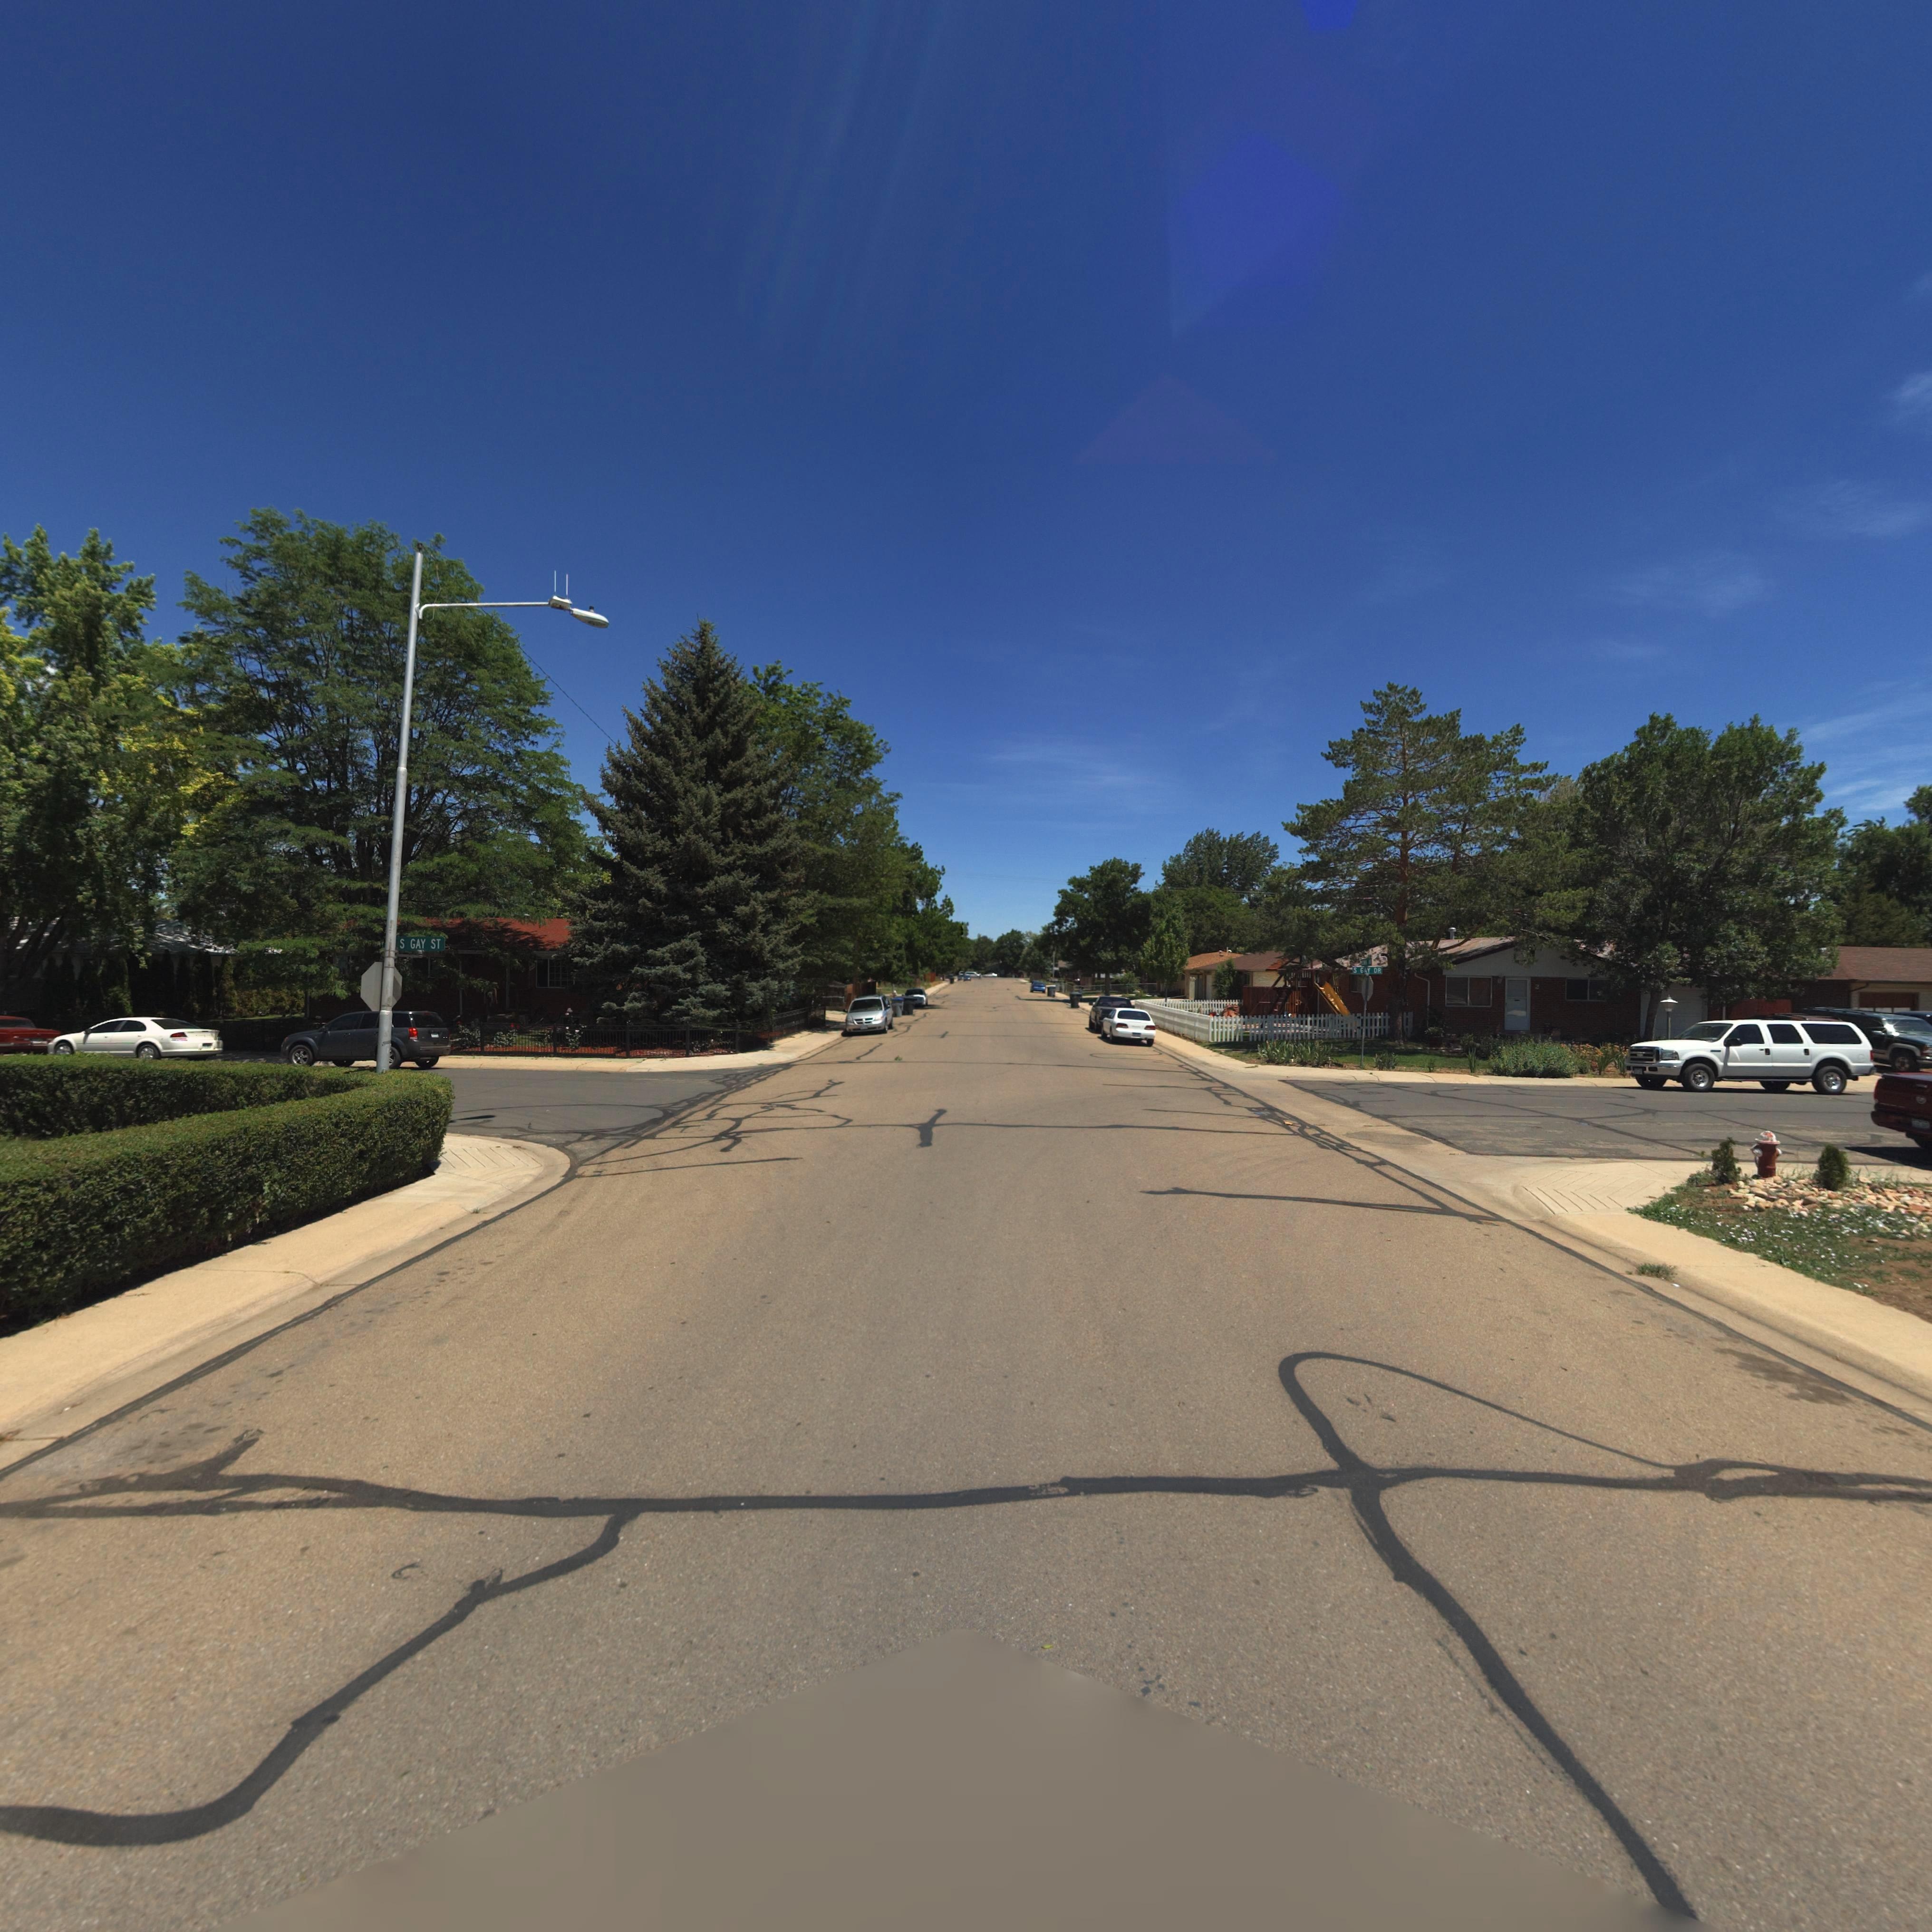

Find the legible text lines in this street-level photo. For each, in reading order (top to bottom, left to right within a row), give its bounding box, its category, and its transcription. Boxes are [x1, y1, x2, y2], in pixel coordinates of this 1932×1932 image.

[399, 938, 441, 949] StreetName: S GAY ST
[1353, 967, 1381, 974] StreetName: S GAY ST
[1534, 984, 1539, 989] StreetNumber: 2